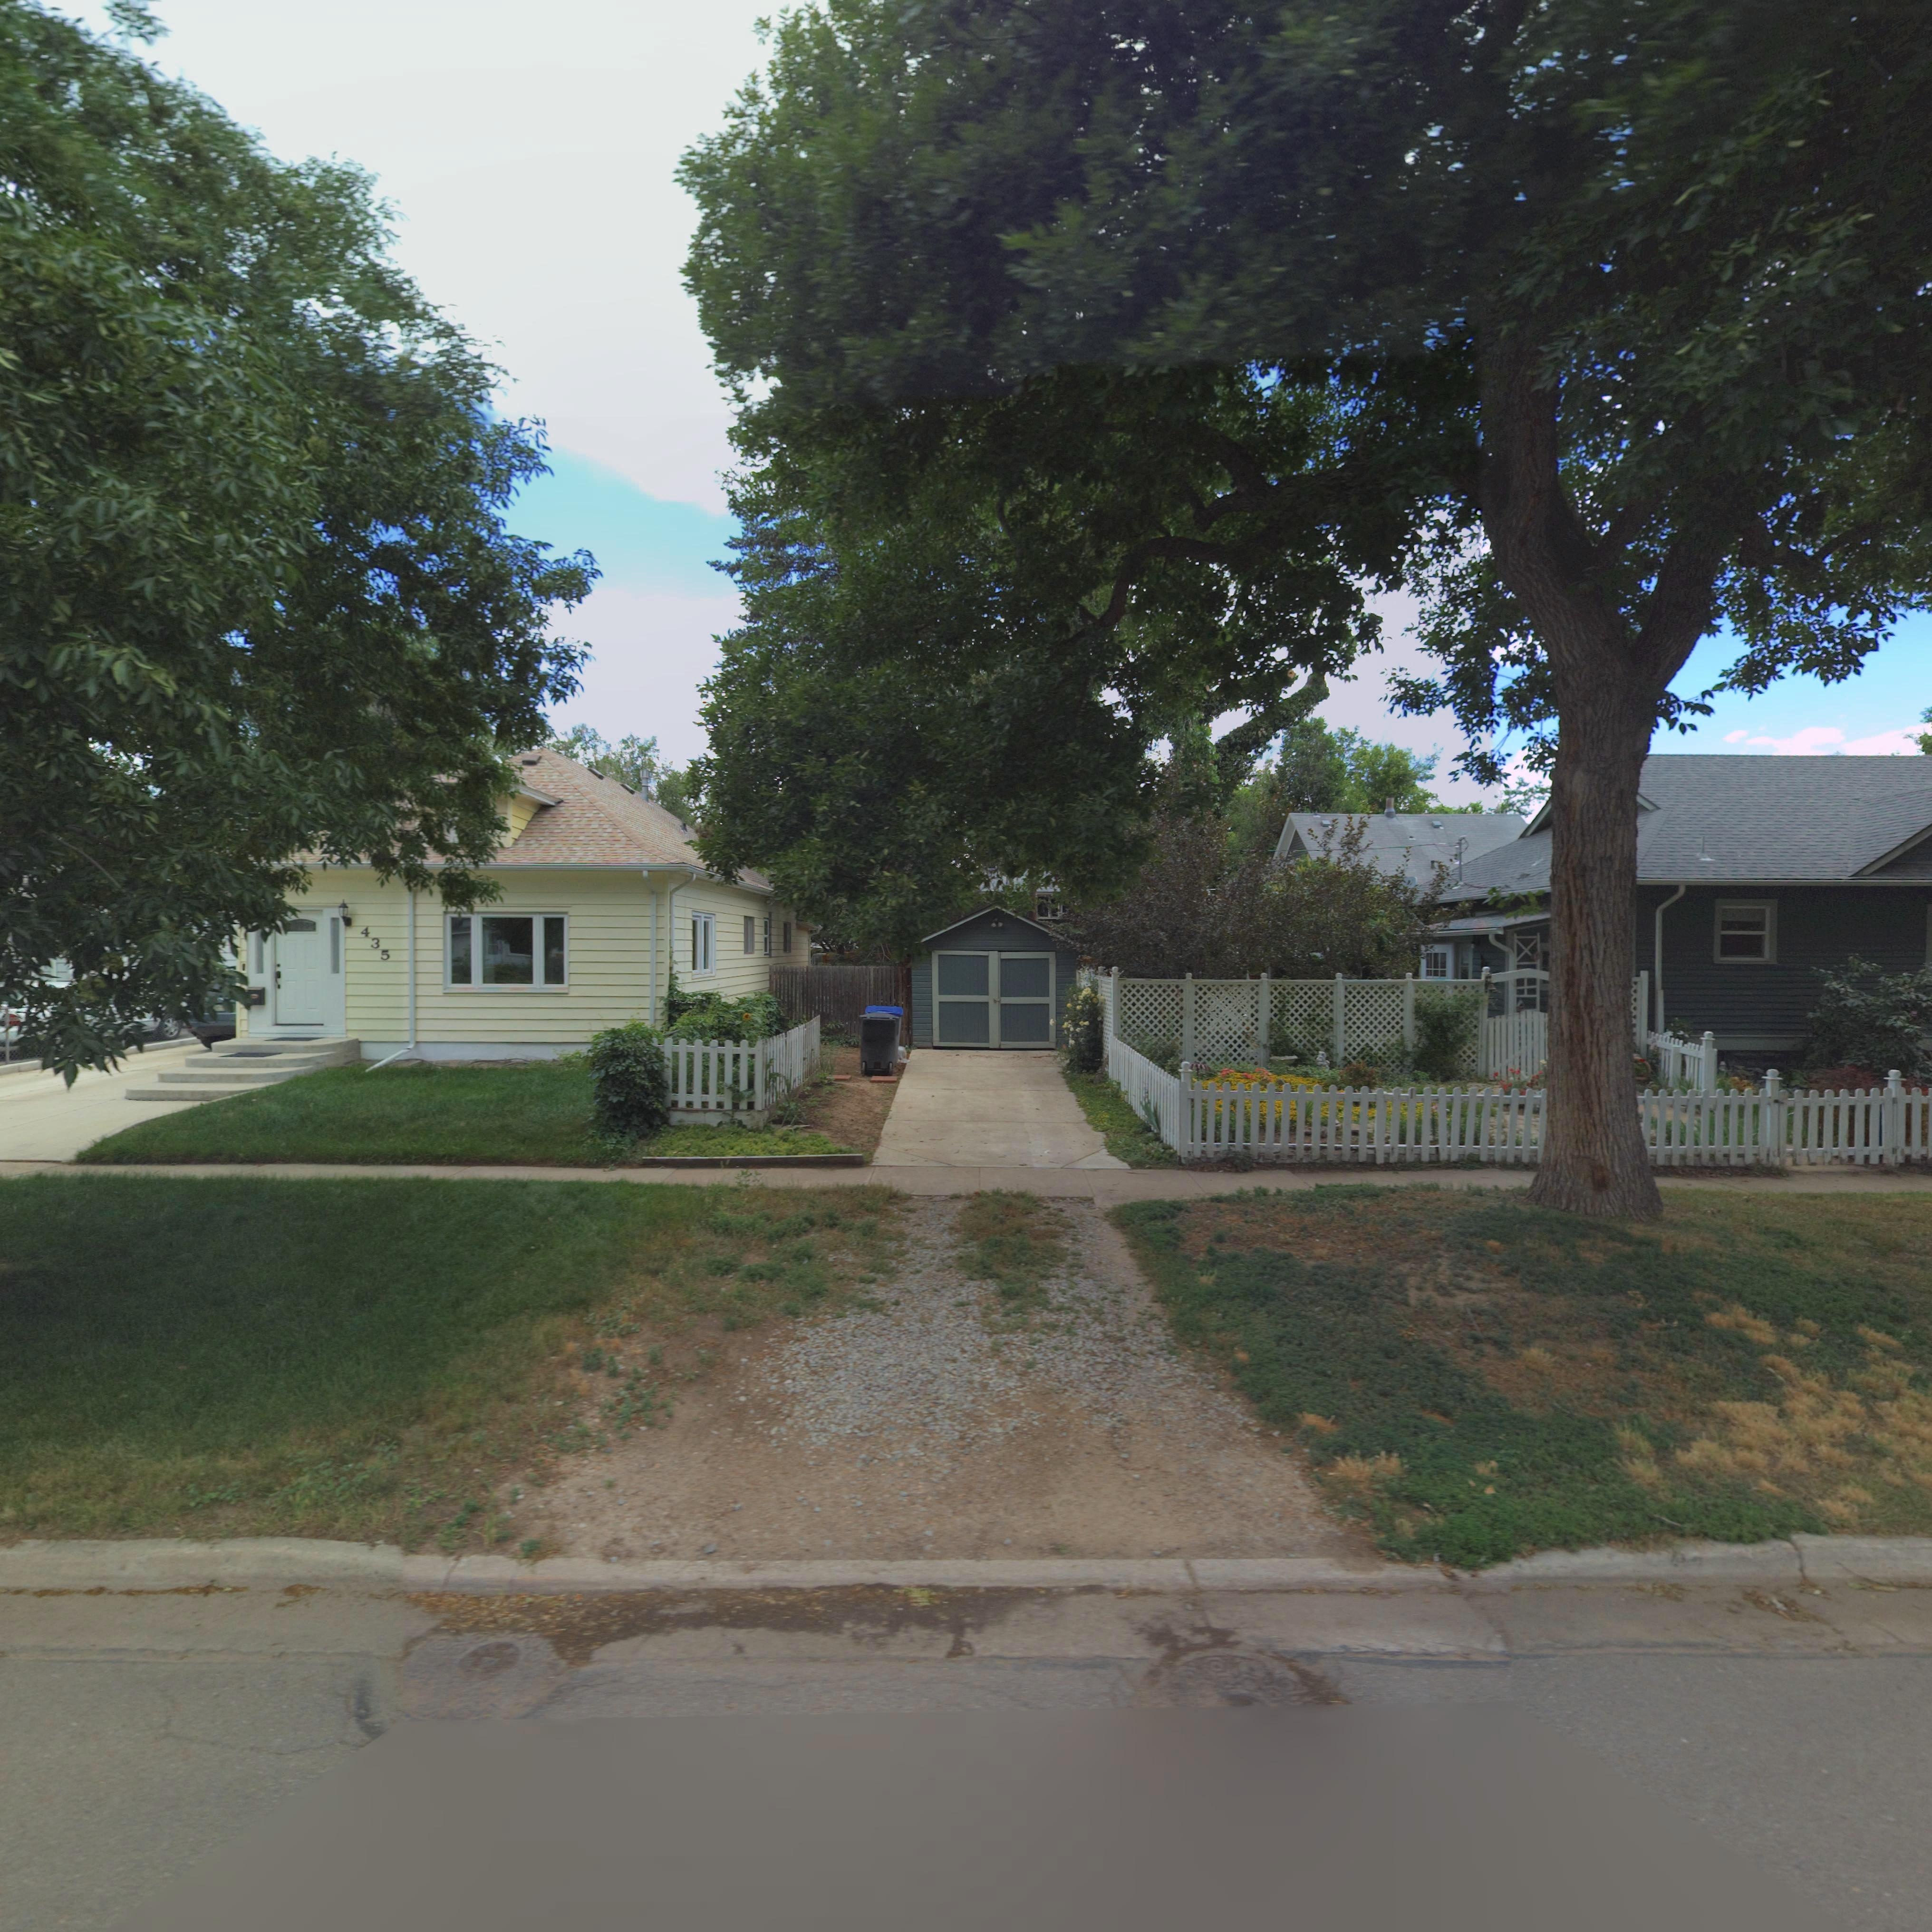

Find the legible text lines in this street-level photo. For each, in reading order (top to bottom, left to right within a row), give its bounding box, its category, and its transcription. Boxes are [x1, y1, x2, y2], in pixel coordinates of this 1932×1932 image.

[360, 926, 390, 961] StreetNumber: 435